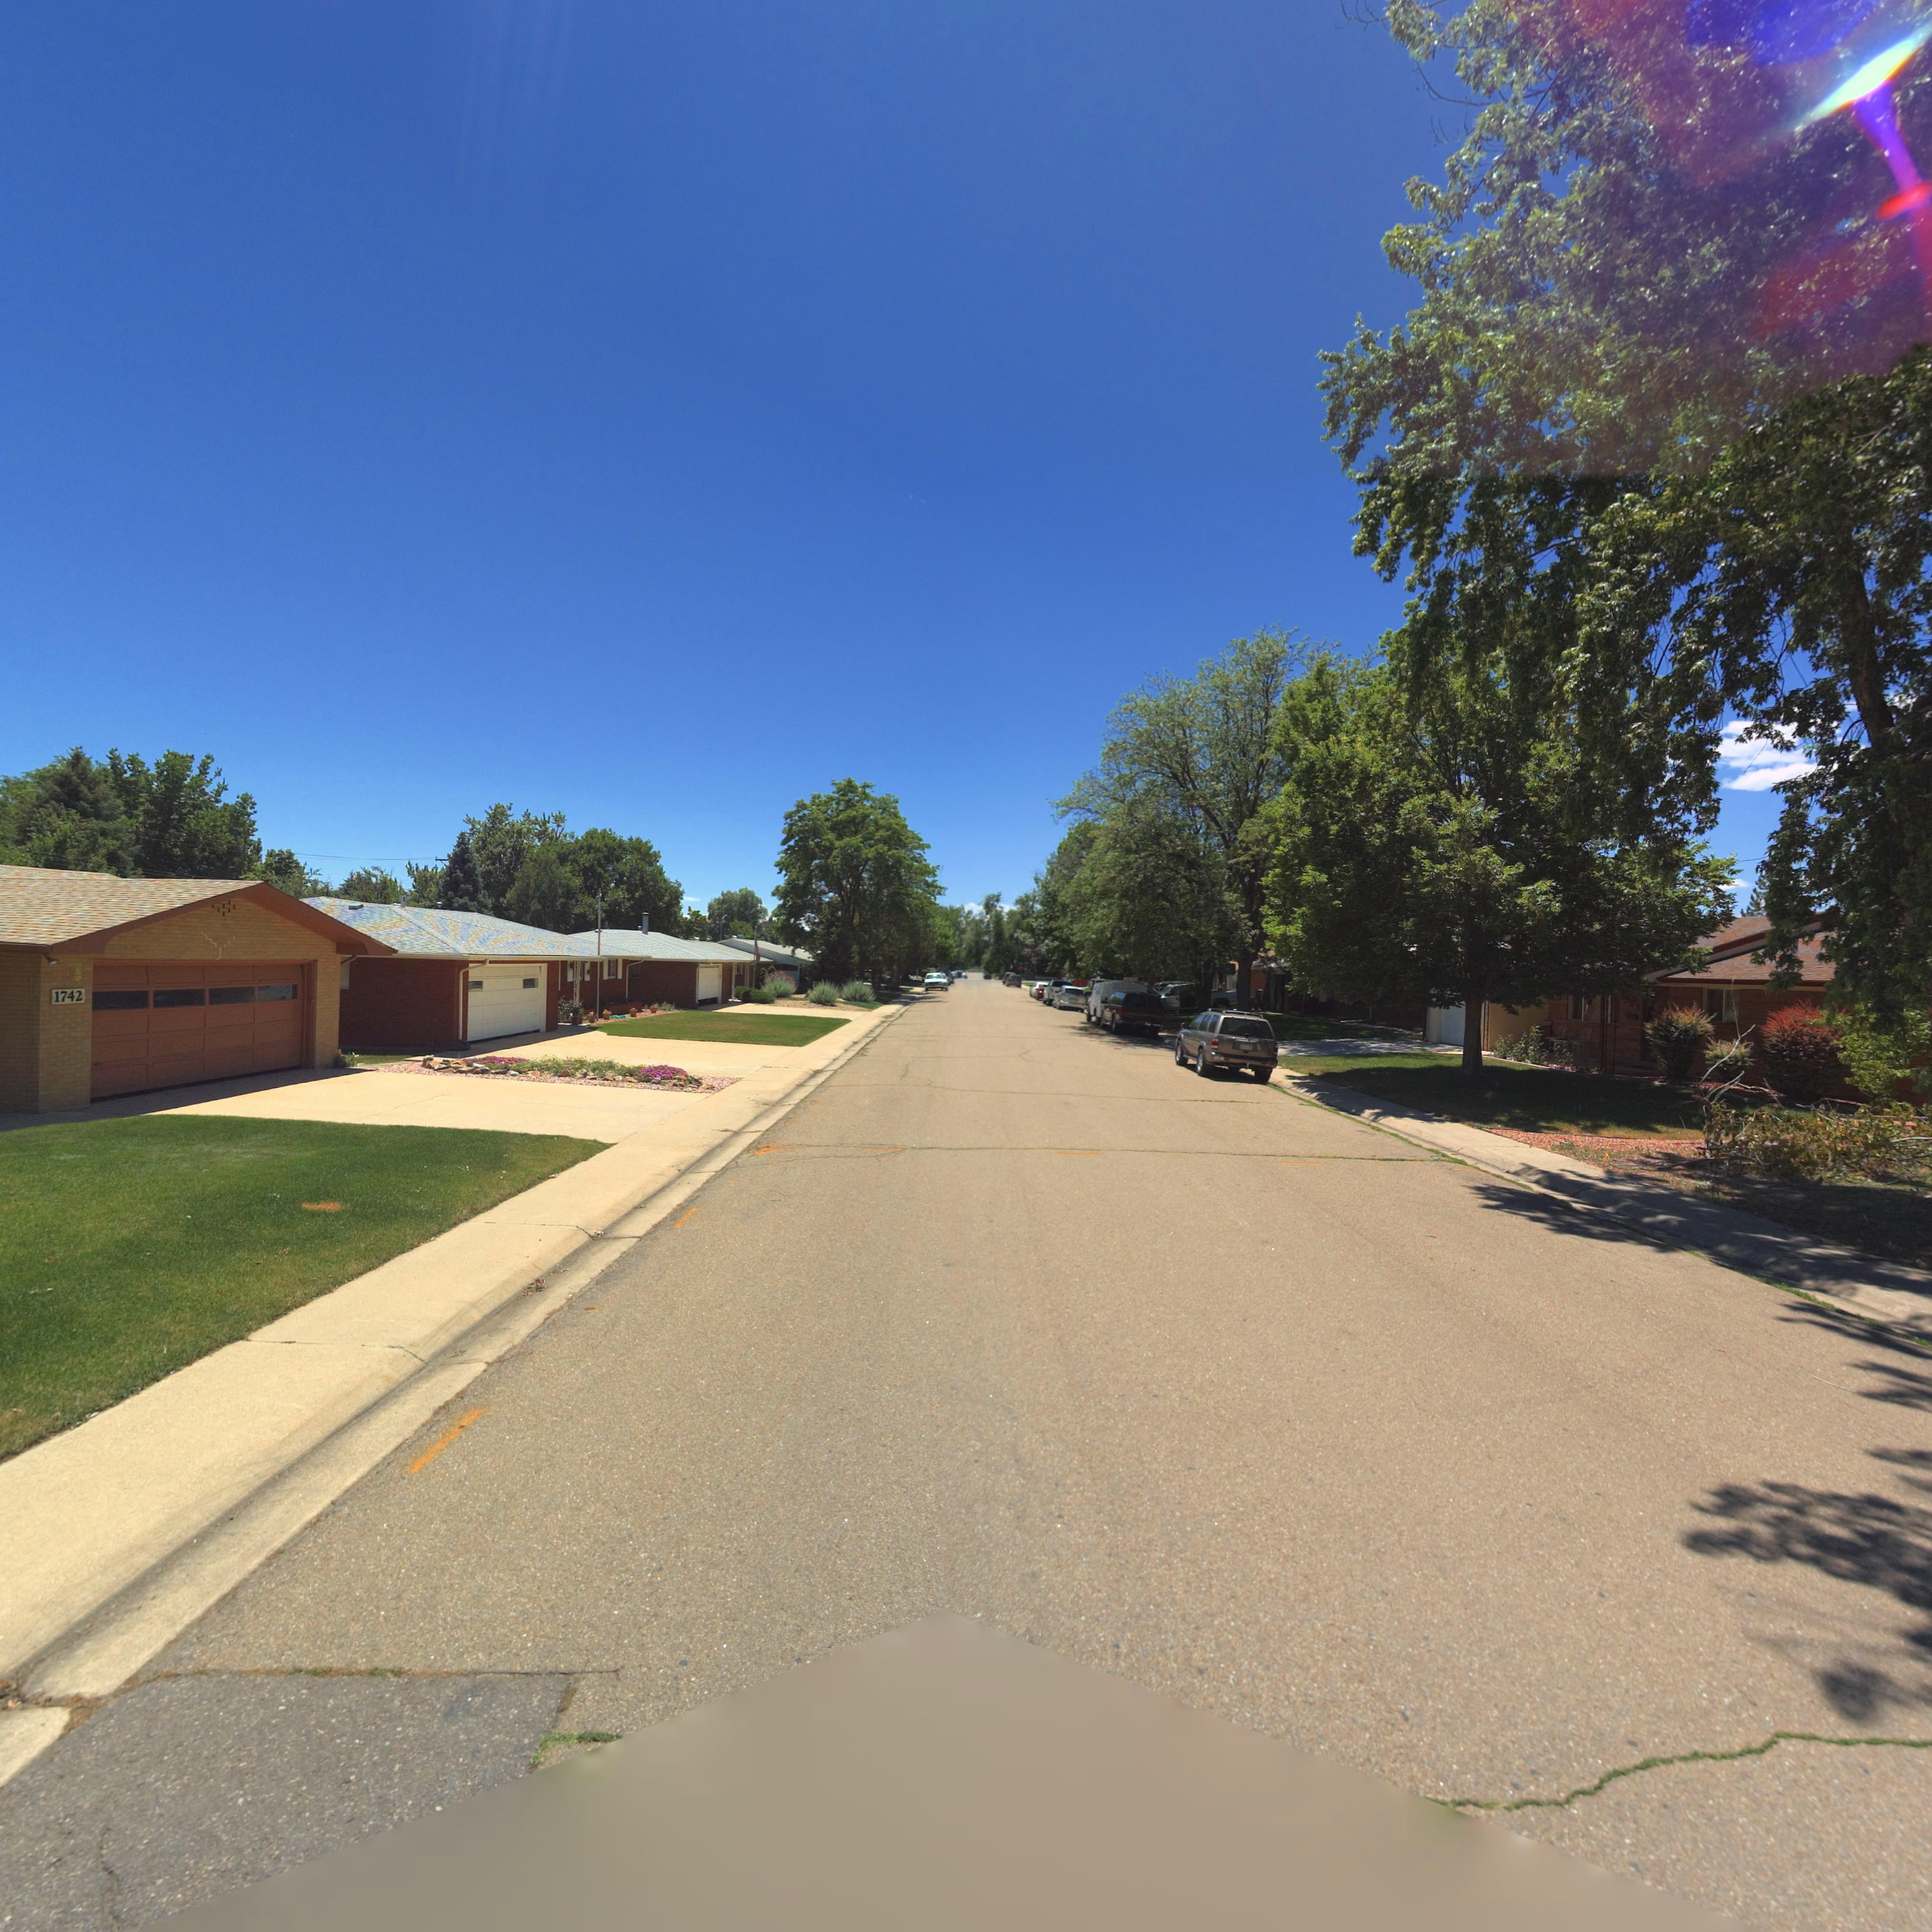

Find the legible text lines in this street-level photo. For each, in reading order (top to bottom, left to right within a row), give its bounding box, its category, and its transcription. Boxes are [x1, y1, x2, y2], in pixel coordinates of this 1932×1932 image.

[53, 990, 83, 1003] StreetNumber: 1742